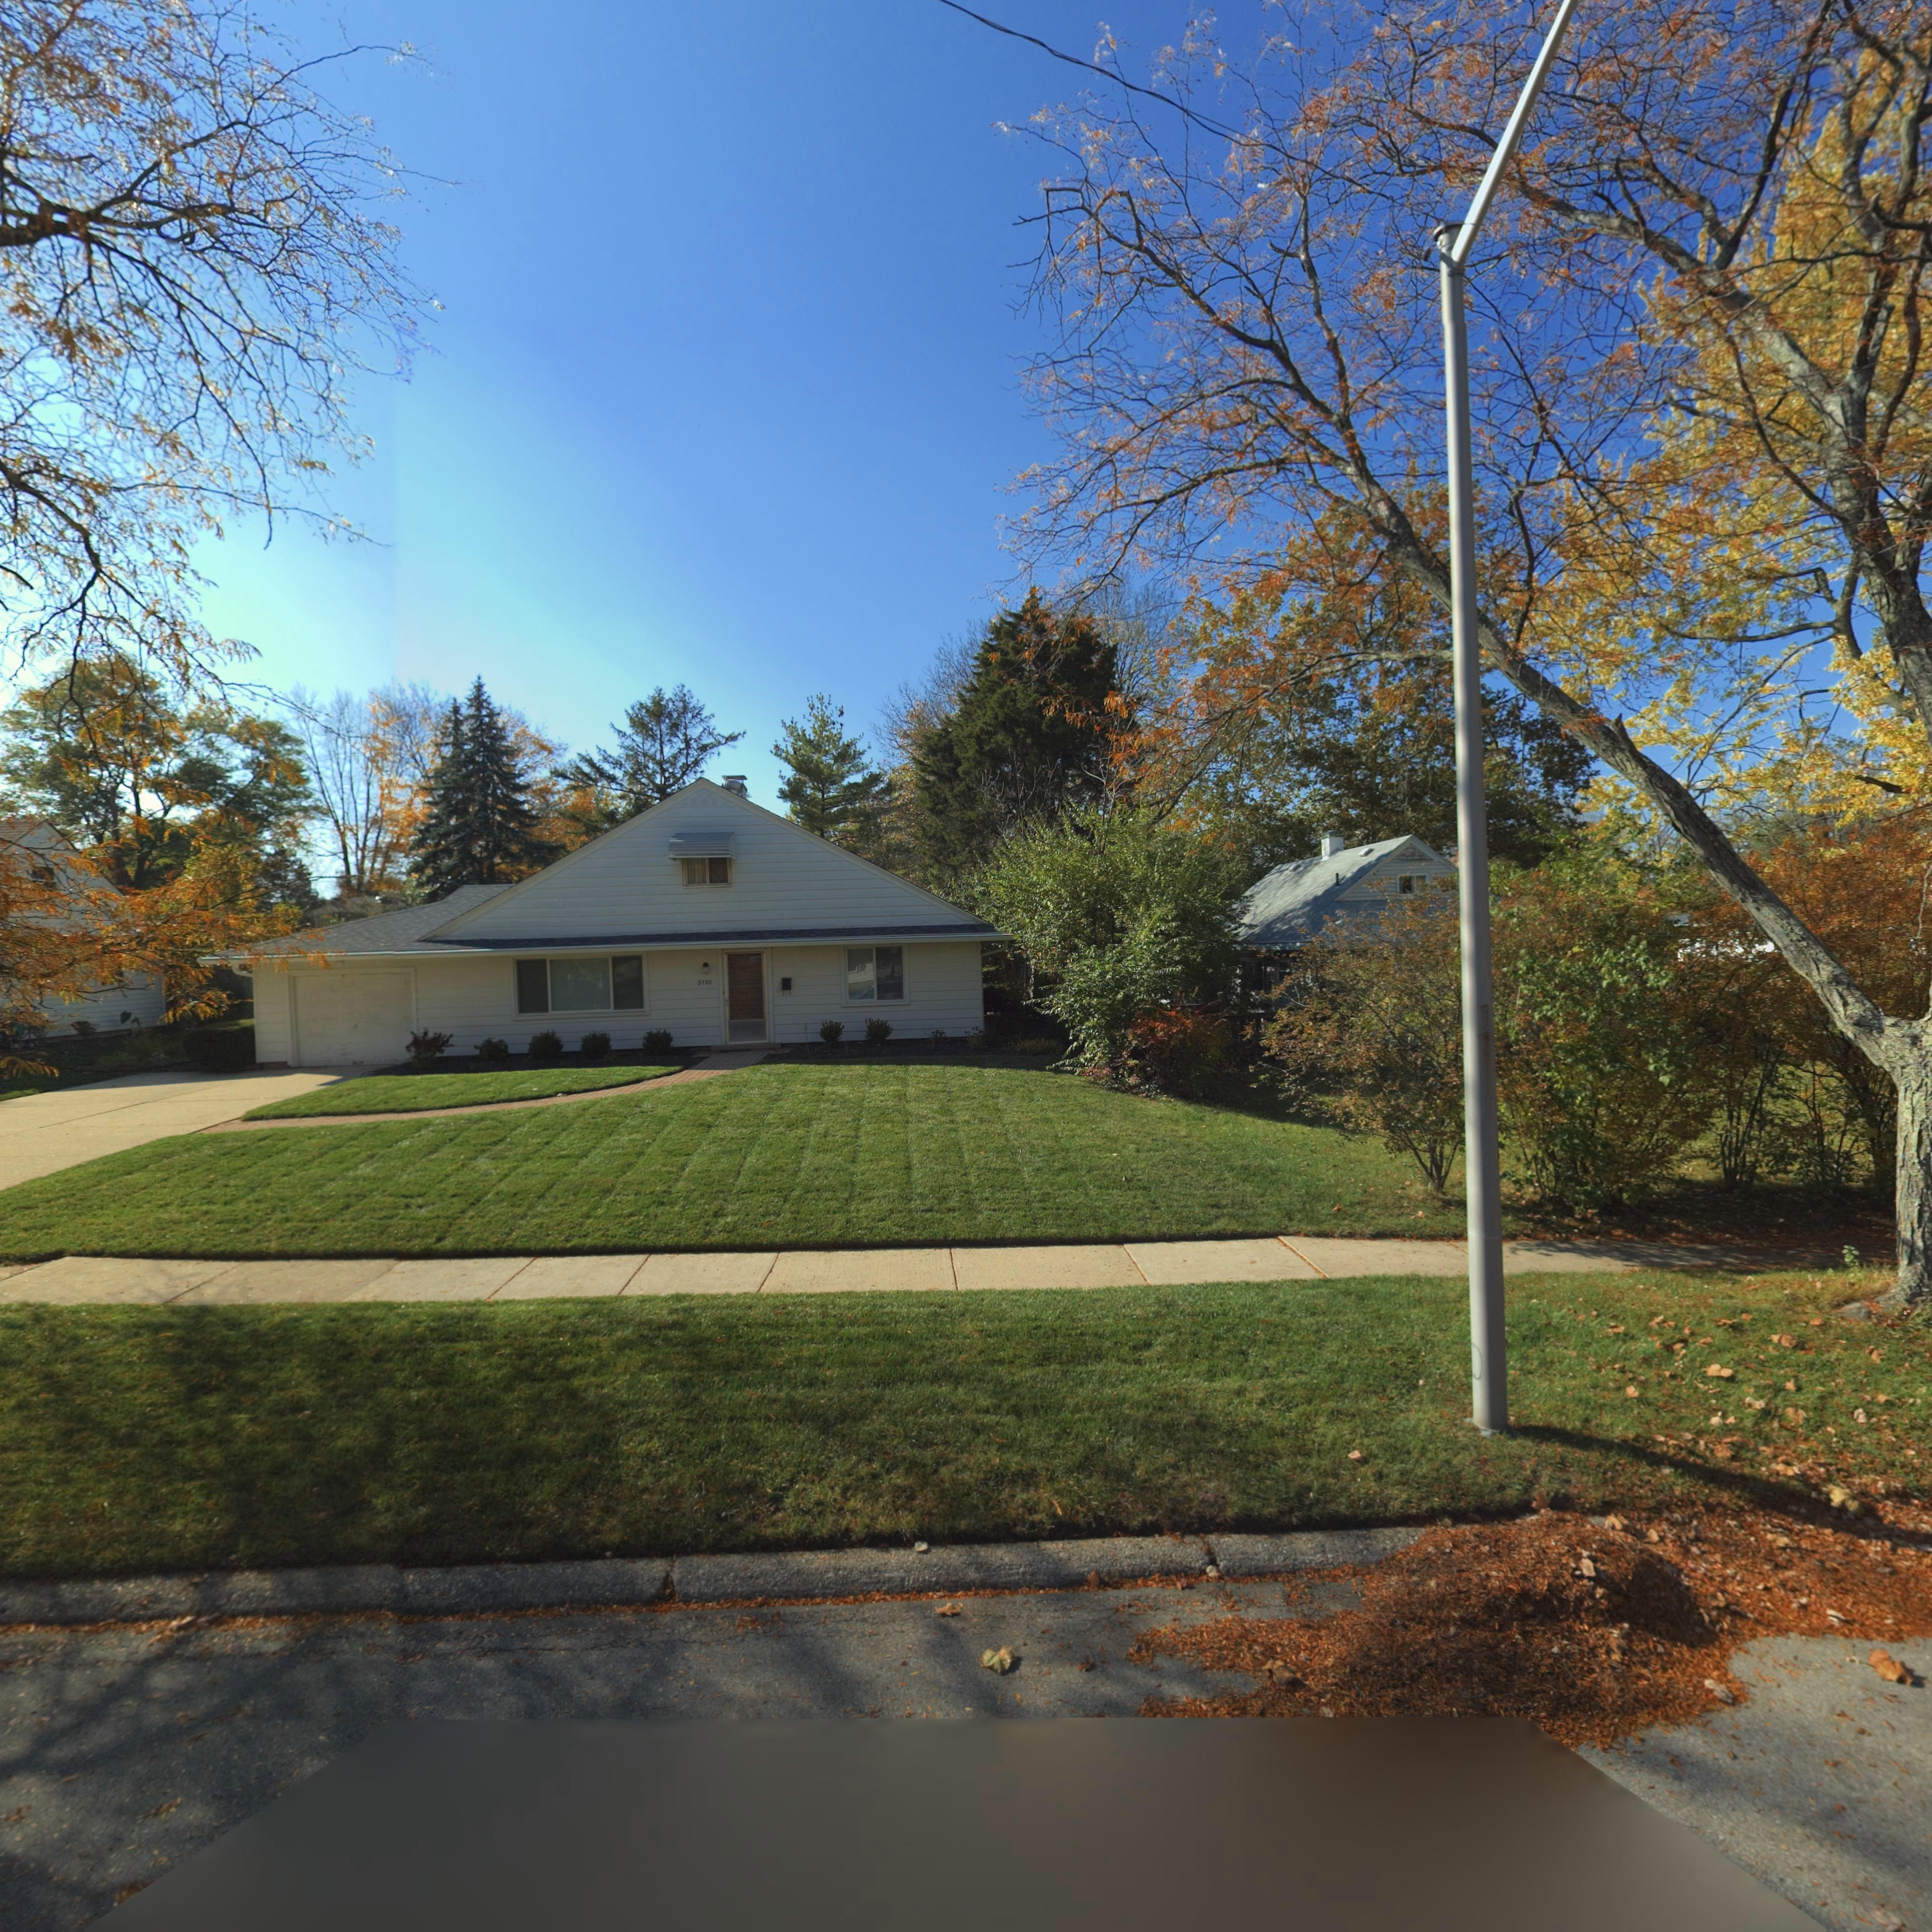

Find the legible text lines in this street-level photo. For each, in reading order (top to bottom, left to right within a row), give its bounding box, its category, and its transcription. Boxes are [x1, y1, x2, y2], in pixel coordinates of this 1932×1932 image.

[696, 980, 713, 985] StreetNumber: 3707